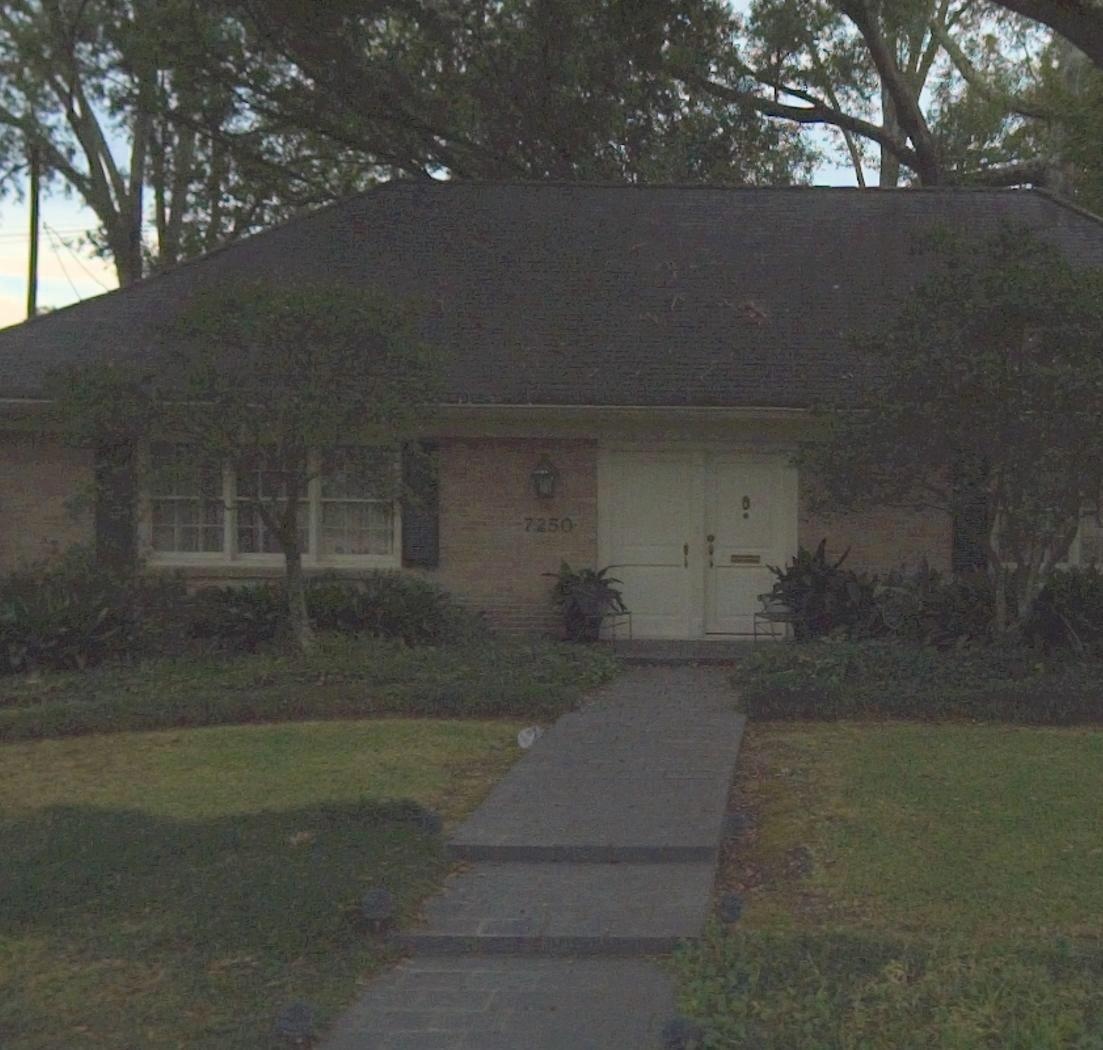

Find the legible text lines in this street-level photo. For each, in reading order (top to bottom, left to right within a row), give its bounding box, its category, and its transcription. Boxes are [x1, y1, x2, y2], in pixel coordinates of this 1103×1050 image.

[521, 516, 573, 534] StreetNumber: 7250